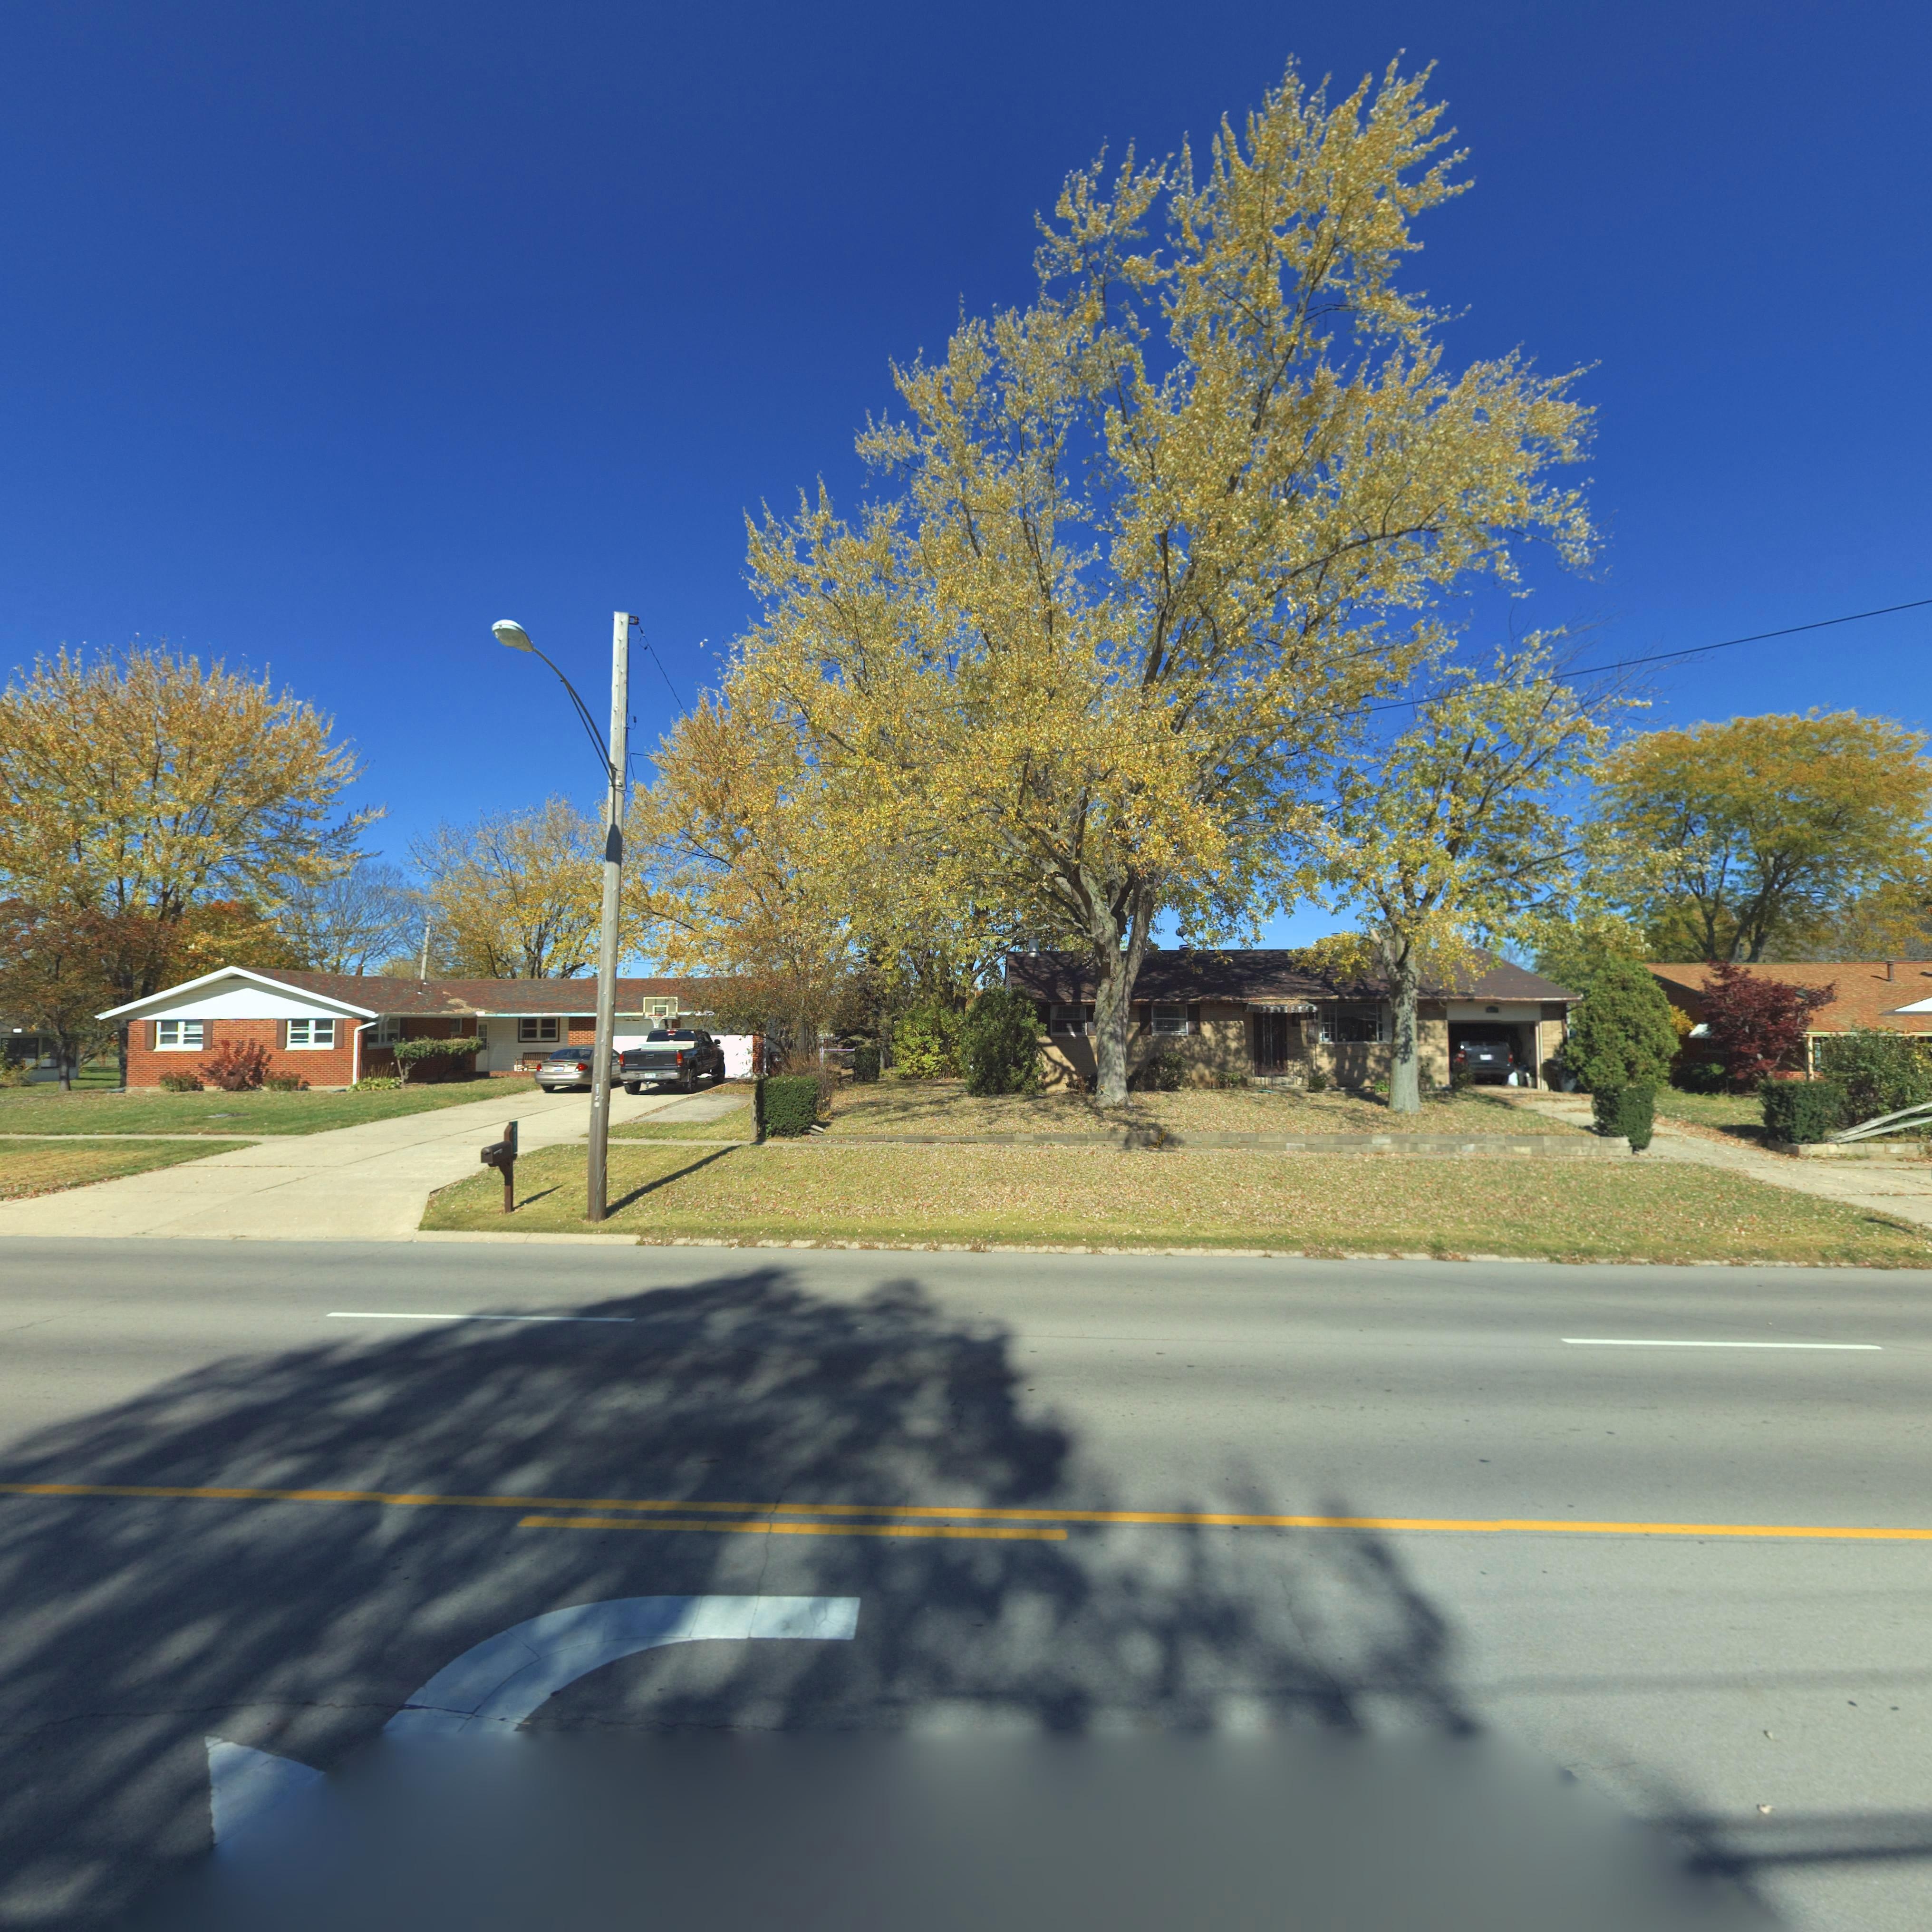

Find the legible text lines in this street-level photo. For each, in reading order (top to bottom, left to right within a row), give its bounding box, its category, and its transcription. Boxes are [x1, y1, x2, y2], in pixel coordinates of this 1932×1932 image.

[512, 1126, 517, 1147] StreetNumber: *11